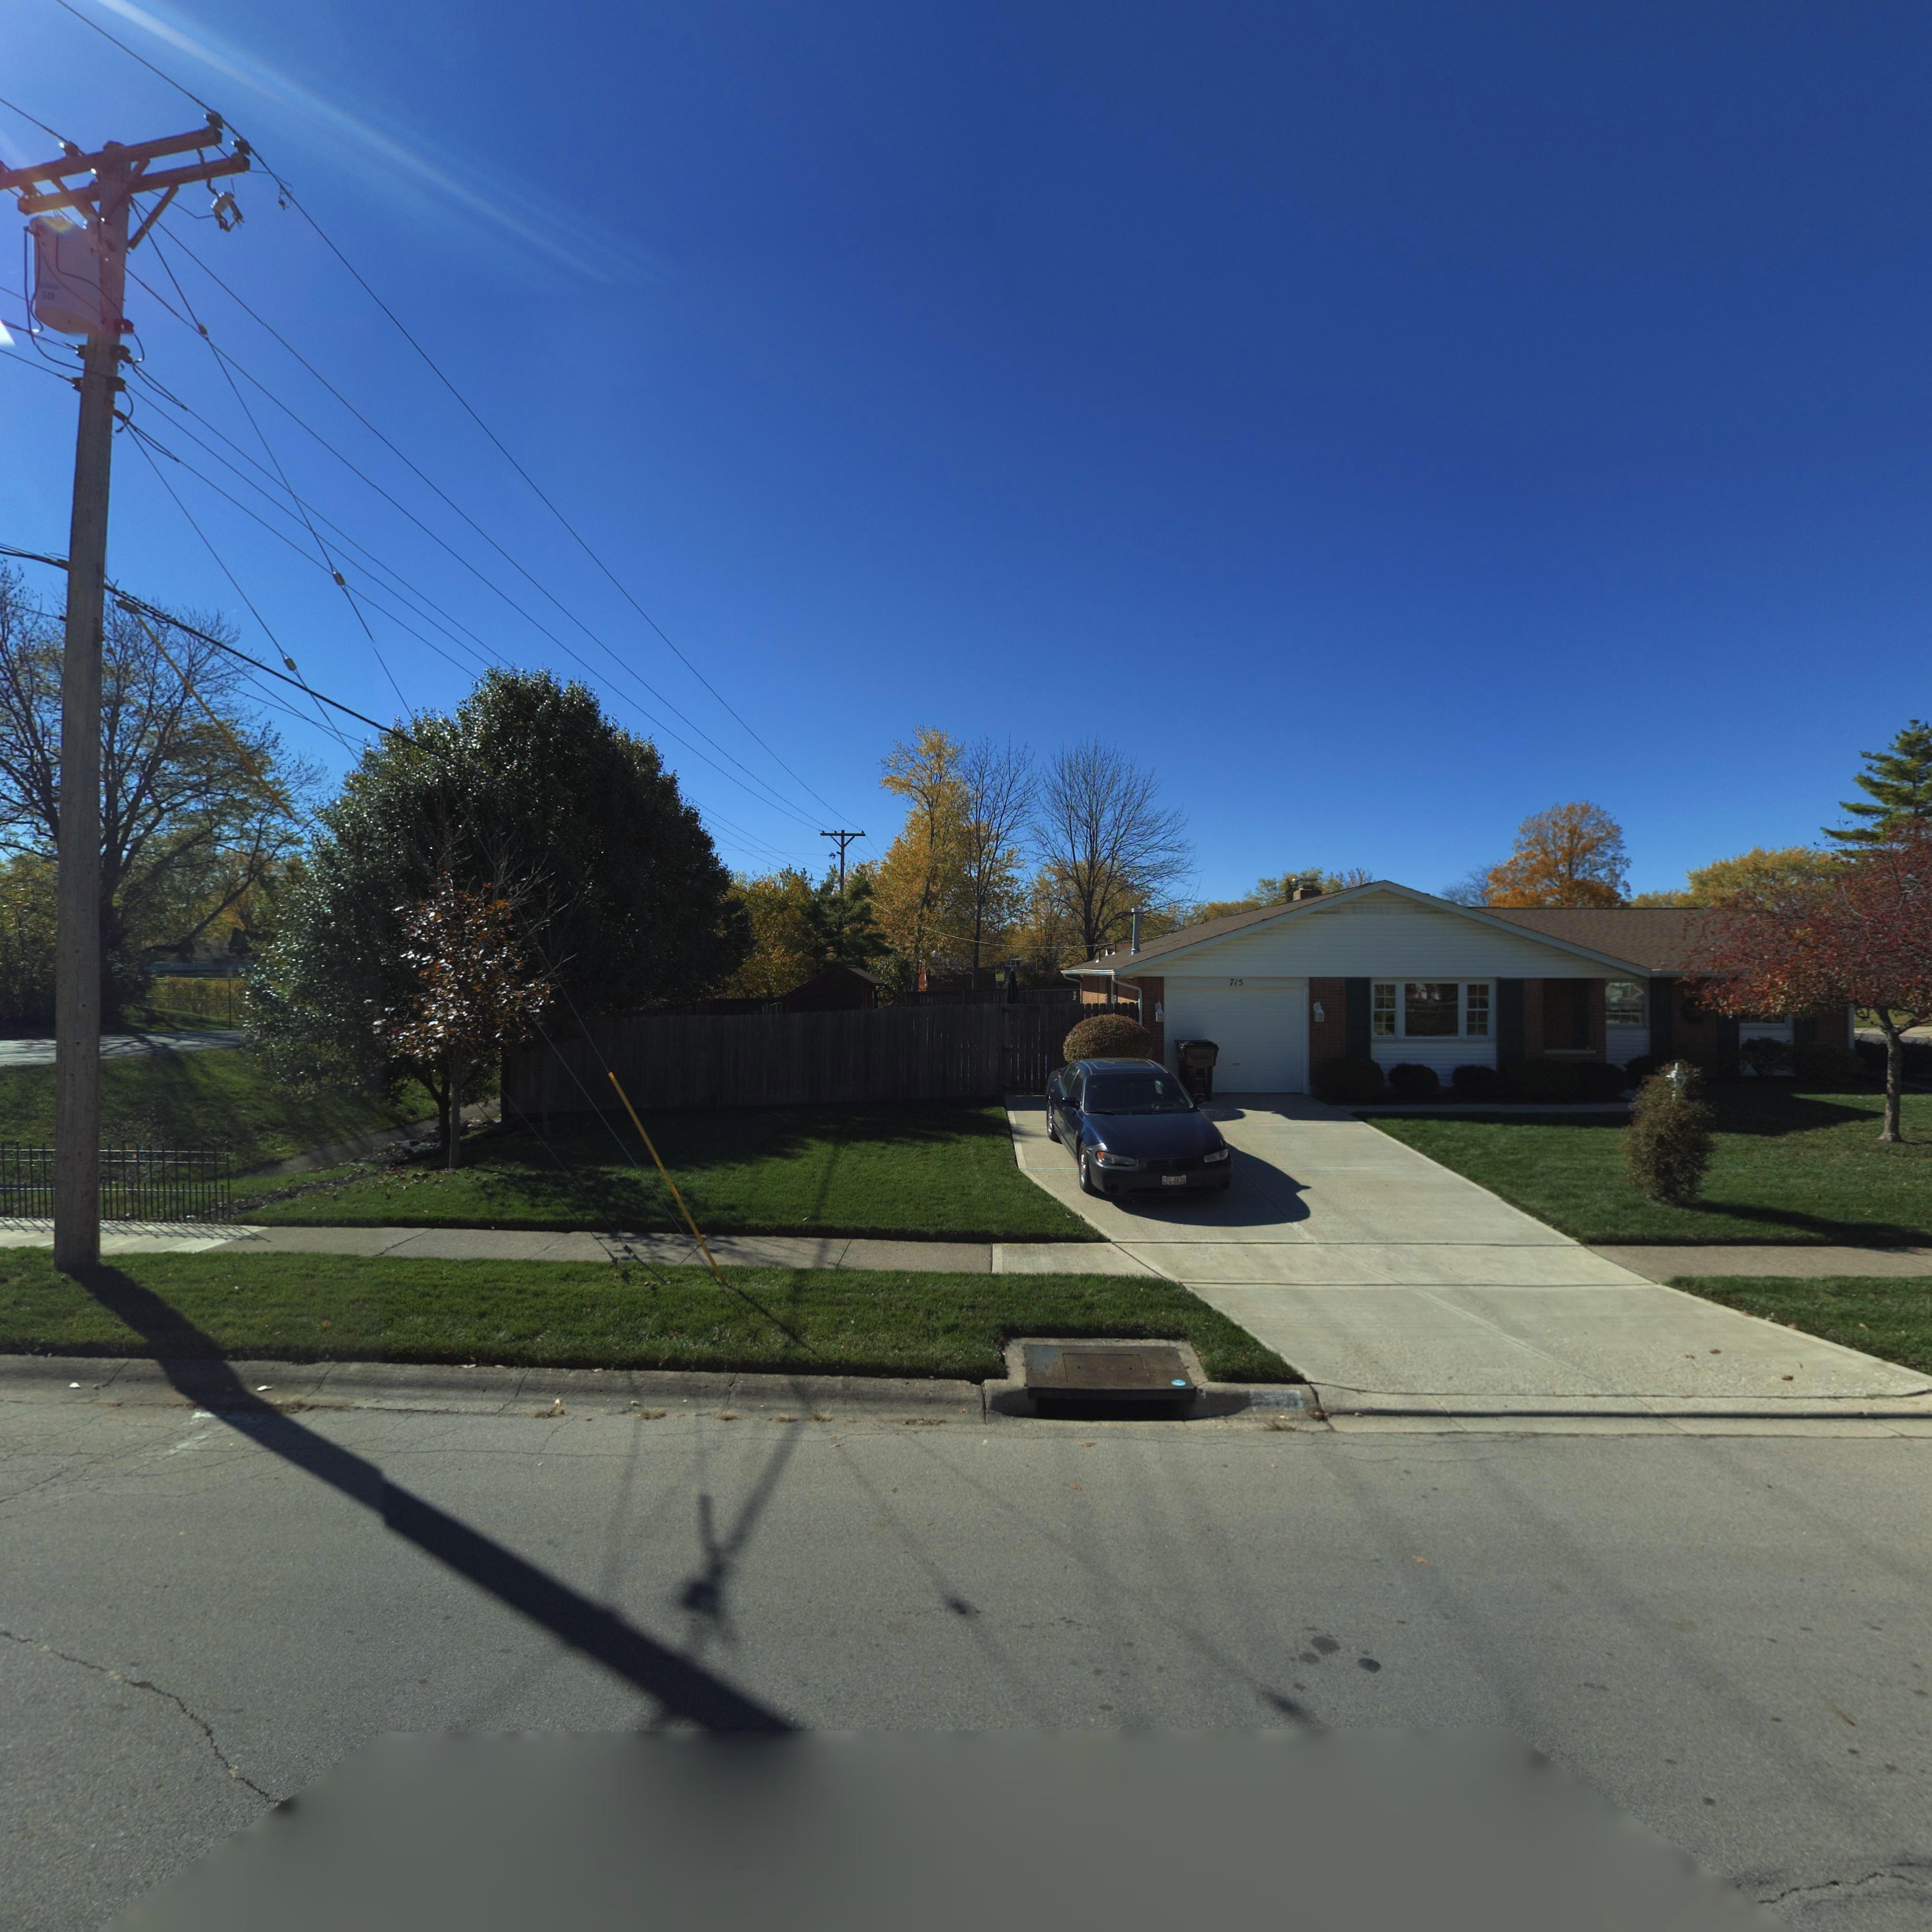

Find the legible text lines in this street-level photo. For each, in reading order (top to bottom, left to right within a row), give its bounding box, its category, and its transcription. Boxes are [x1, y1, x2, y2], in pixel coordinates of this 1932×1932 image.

[1228, 977, 1245, 987] StreetNumber: 715
[1162, 1177, 1186, 1184] None: CFG*4839